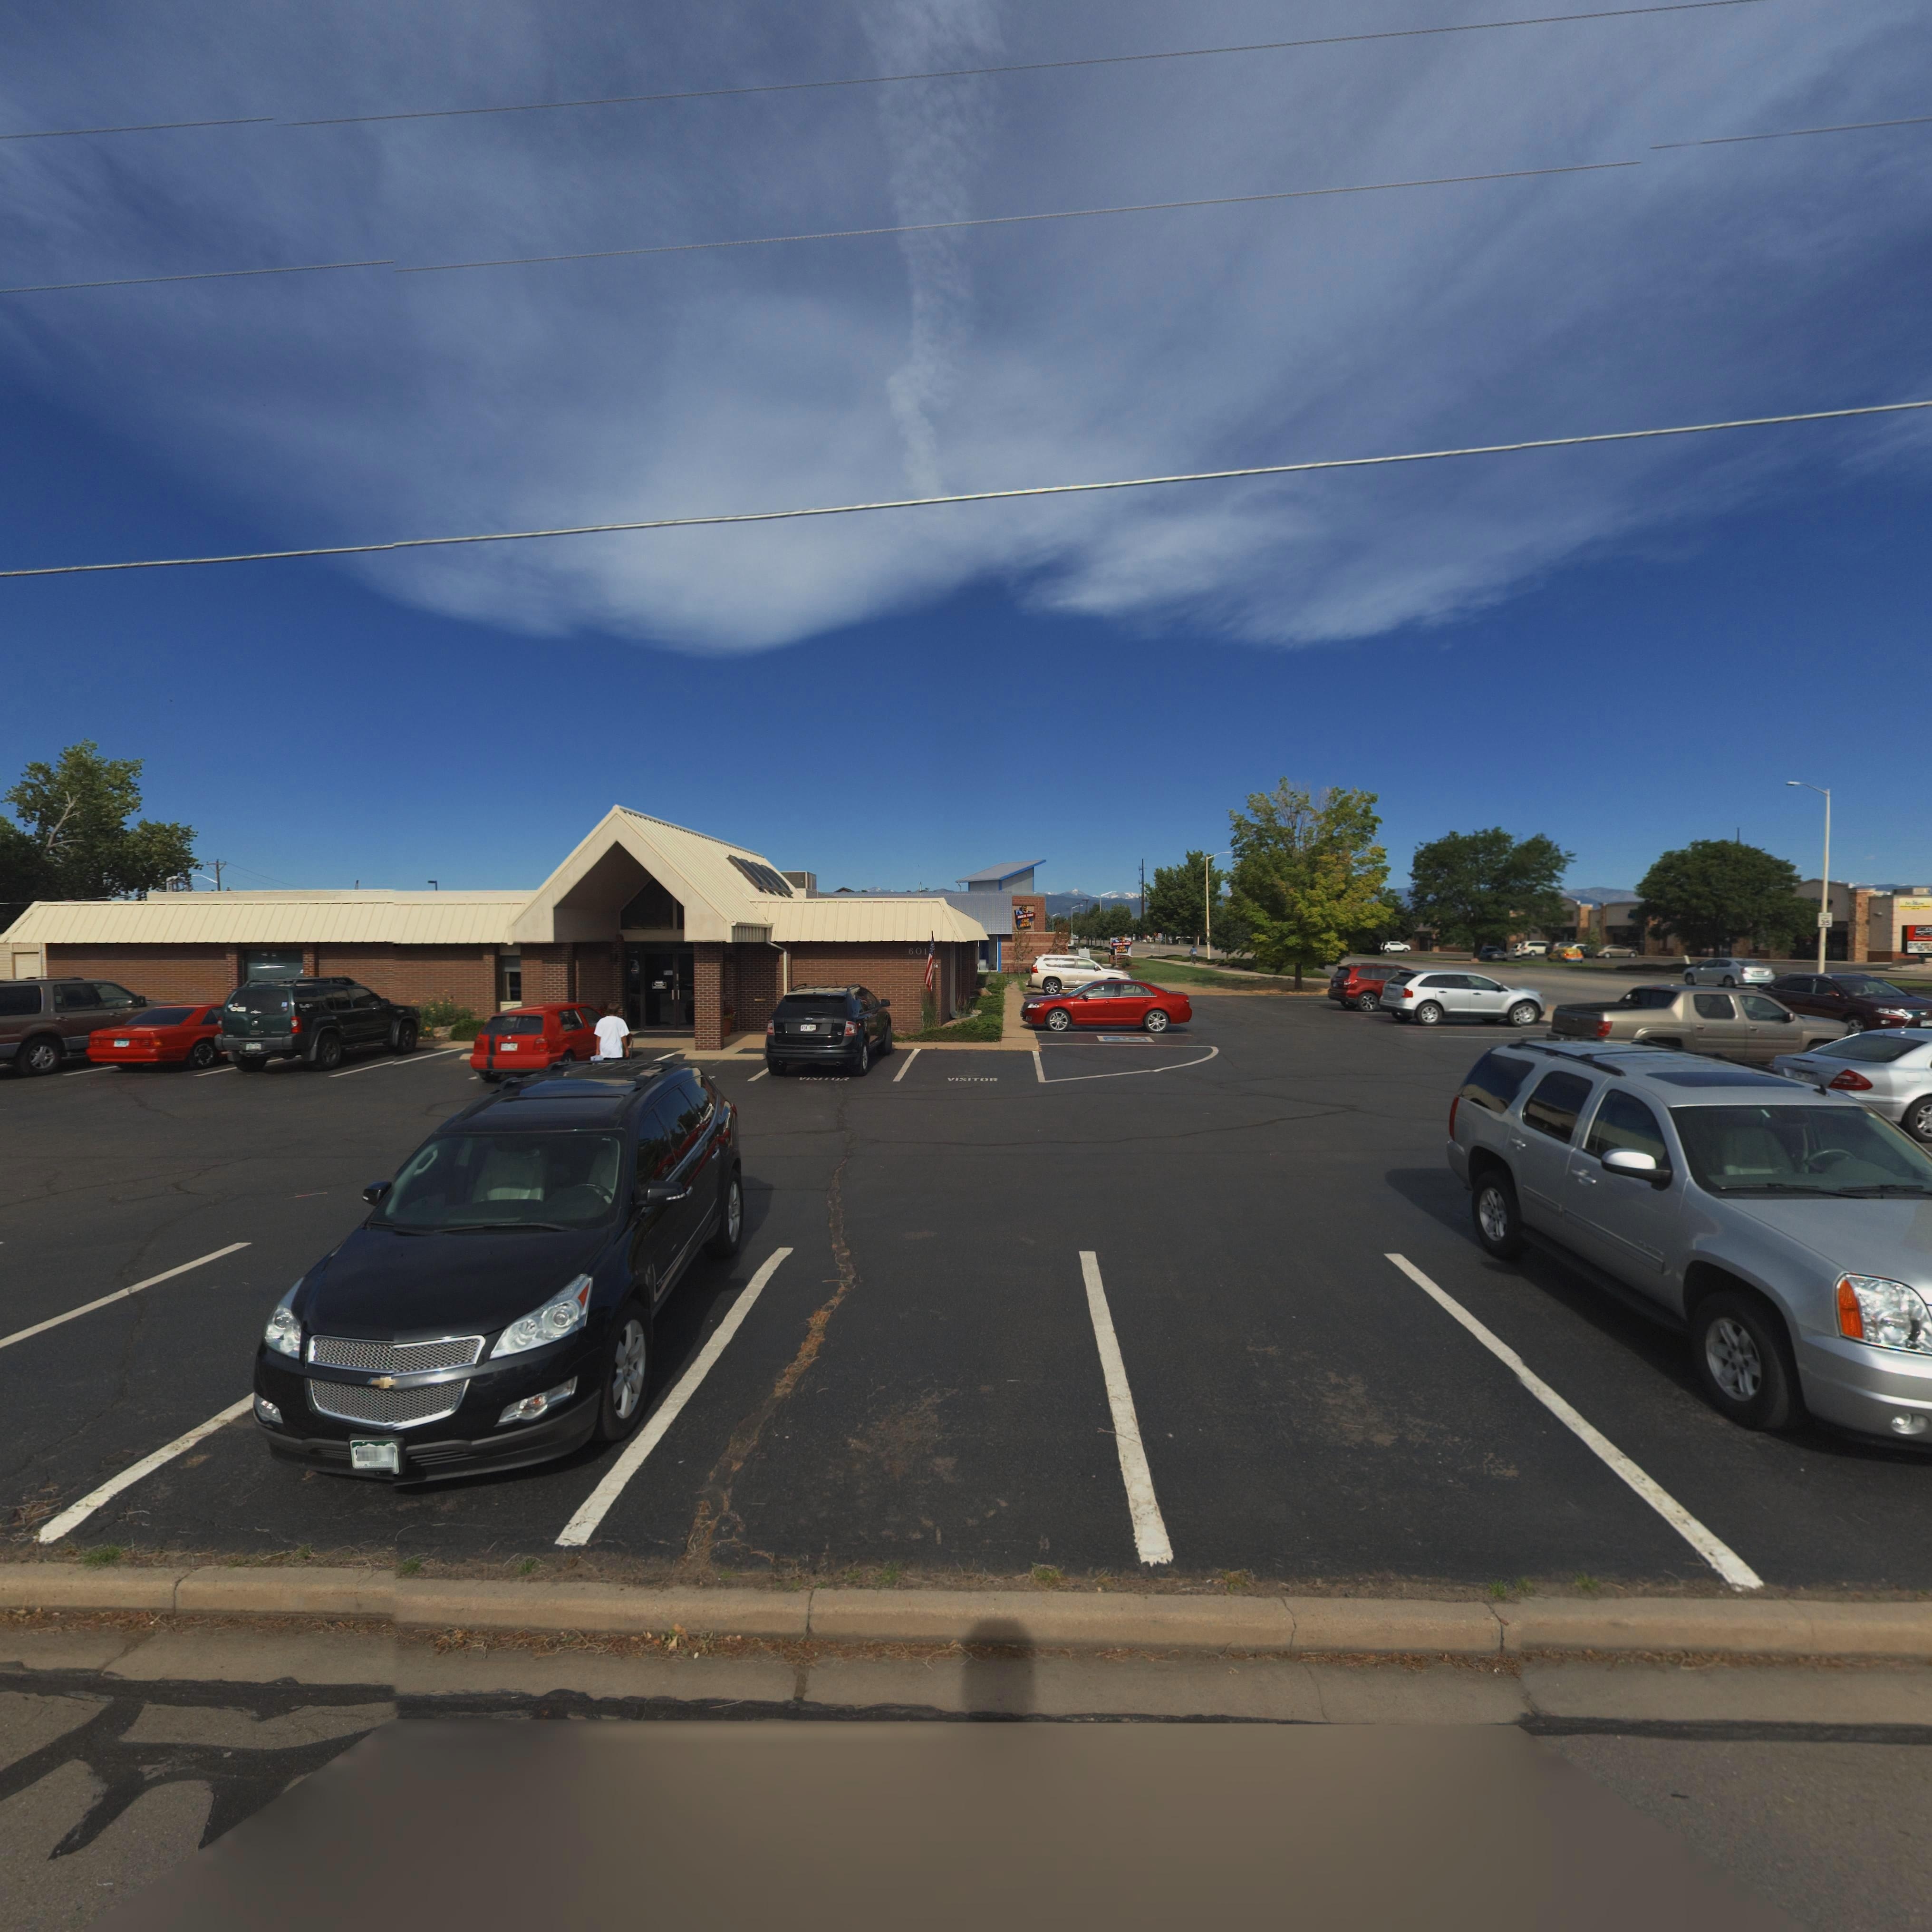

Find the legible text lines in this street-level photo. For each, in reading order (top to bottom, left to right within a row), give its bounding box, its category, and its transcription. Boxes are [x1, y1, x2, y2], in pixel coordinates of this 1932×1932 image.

[1021, 918, 1029, 923] BusinessName: CAR
[1019, 921, 1031, 927] BusinessName: **SH
[1116, 945, 1125, 949] BusinessName: C*R
[908, 947, 927, 955] BusinessName: 601
[1116, 948, 1127, 952] BusinessName: **SH